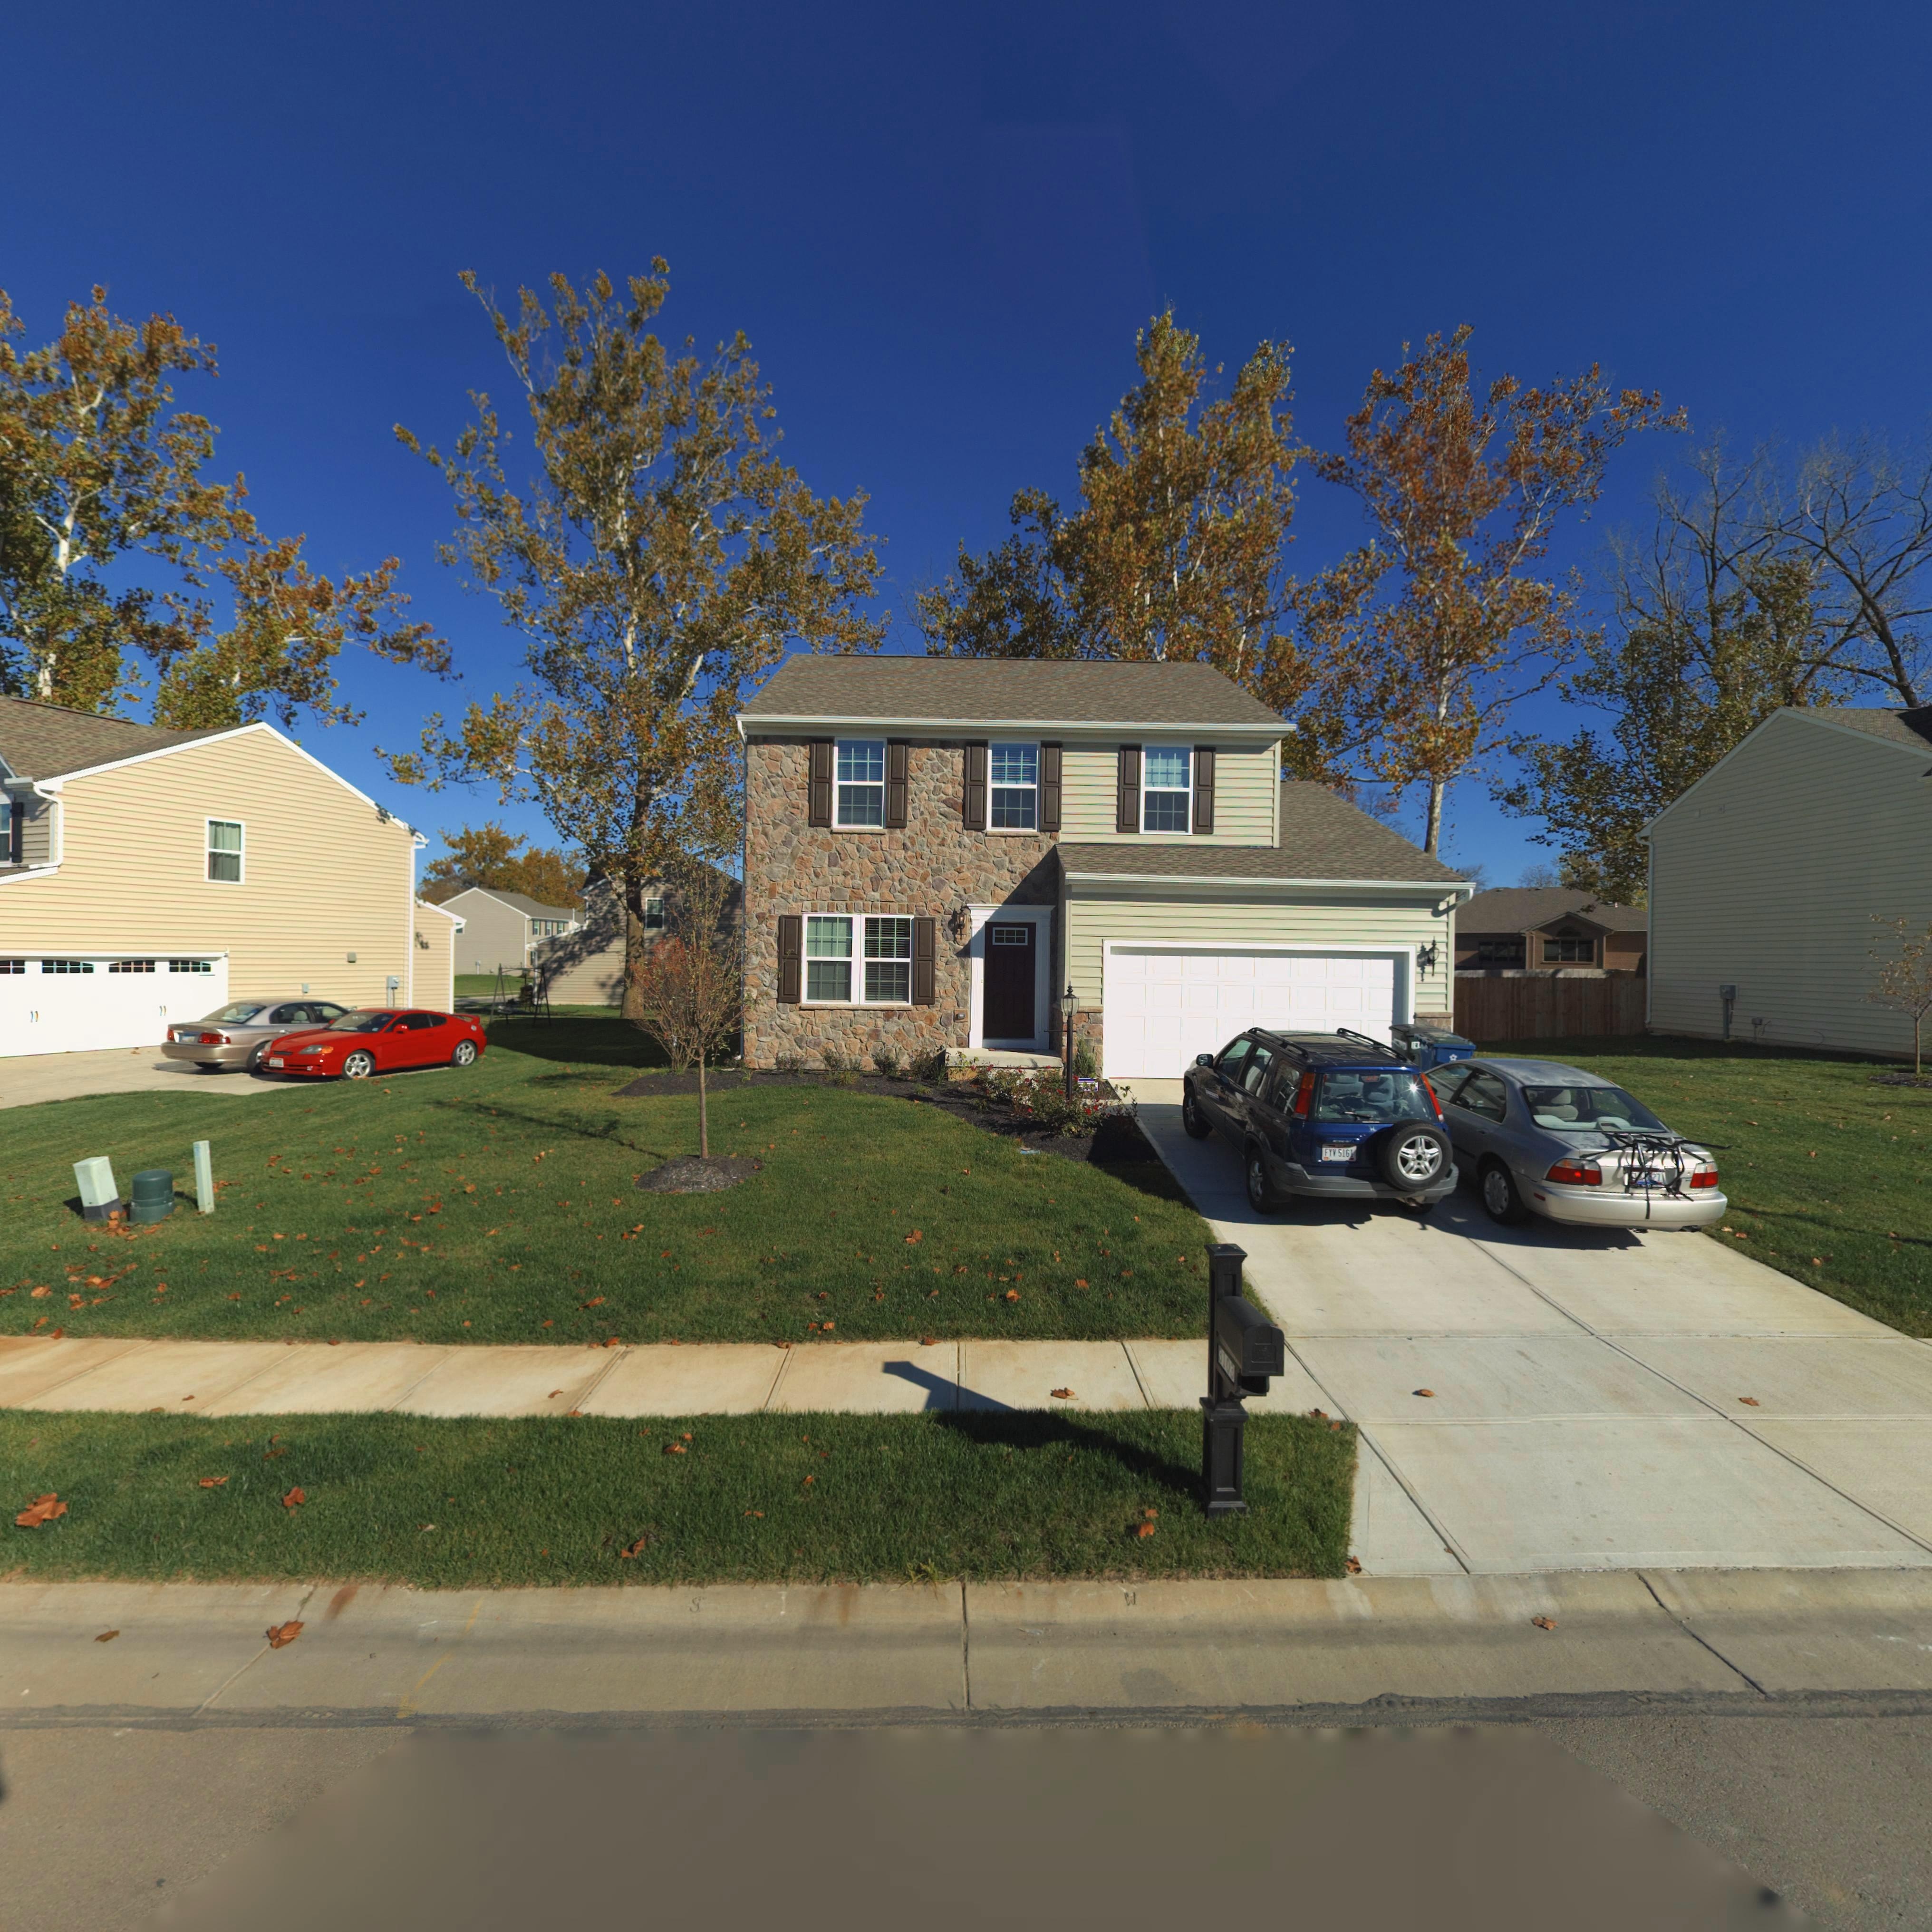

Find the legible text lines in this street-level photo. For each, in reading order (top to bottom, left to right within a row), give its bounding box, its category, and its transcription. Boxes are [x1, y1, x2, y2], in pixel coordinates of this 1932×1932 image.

[1217, 1345, 1234, 1381] StreetNumber: 3103